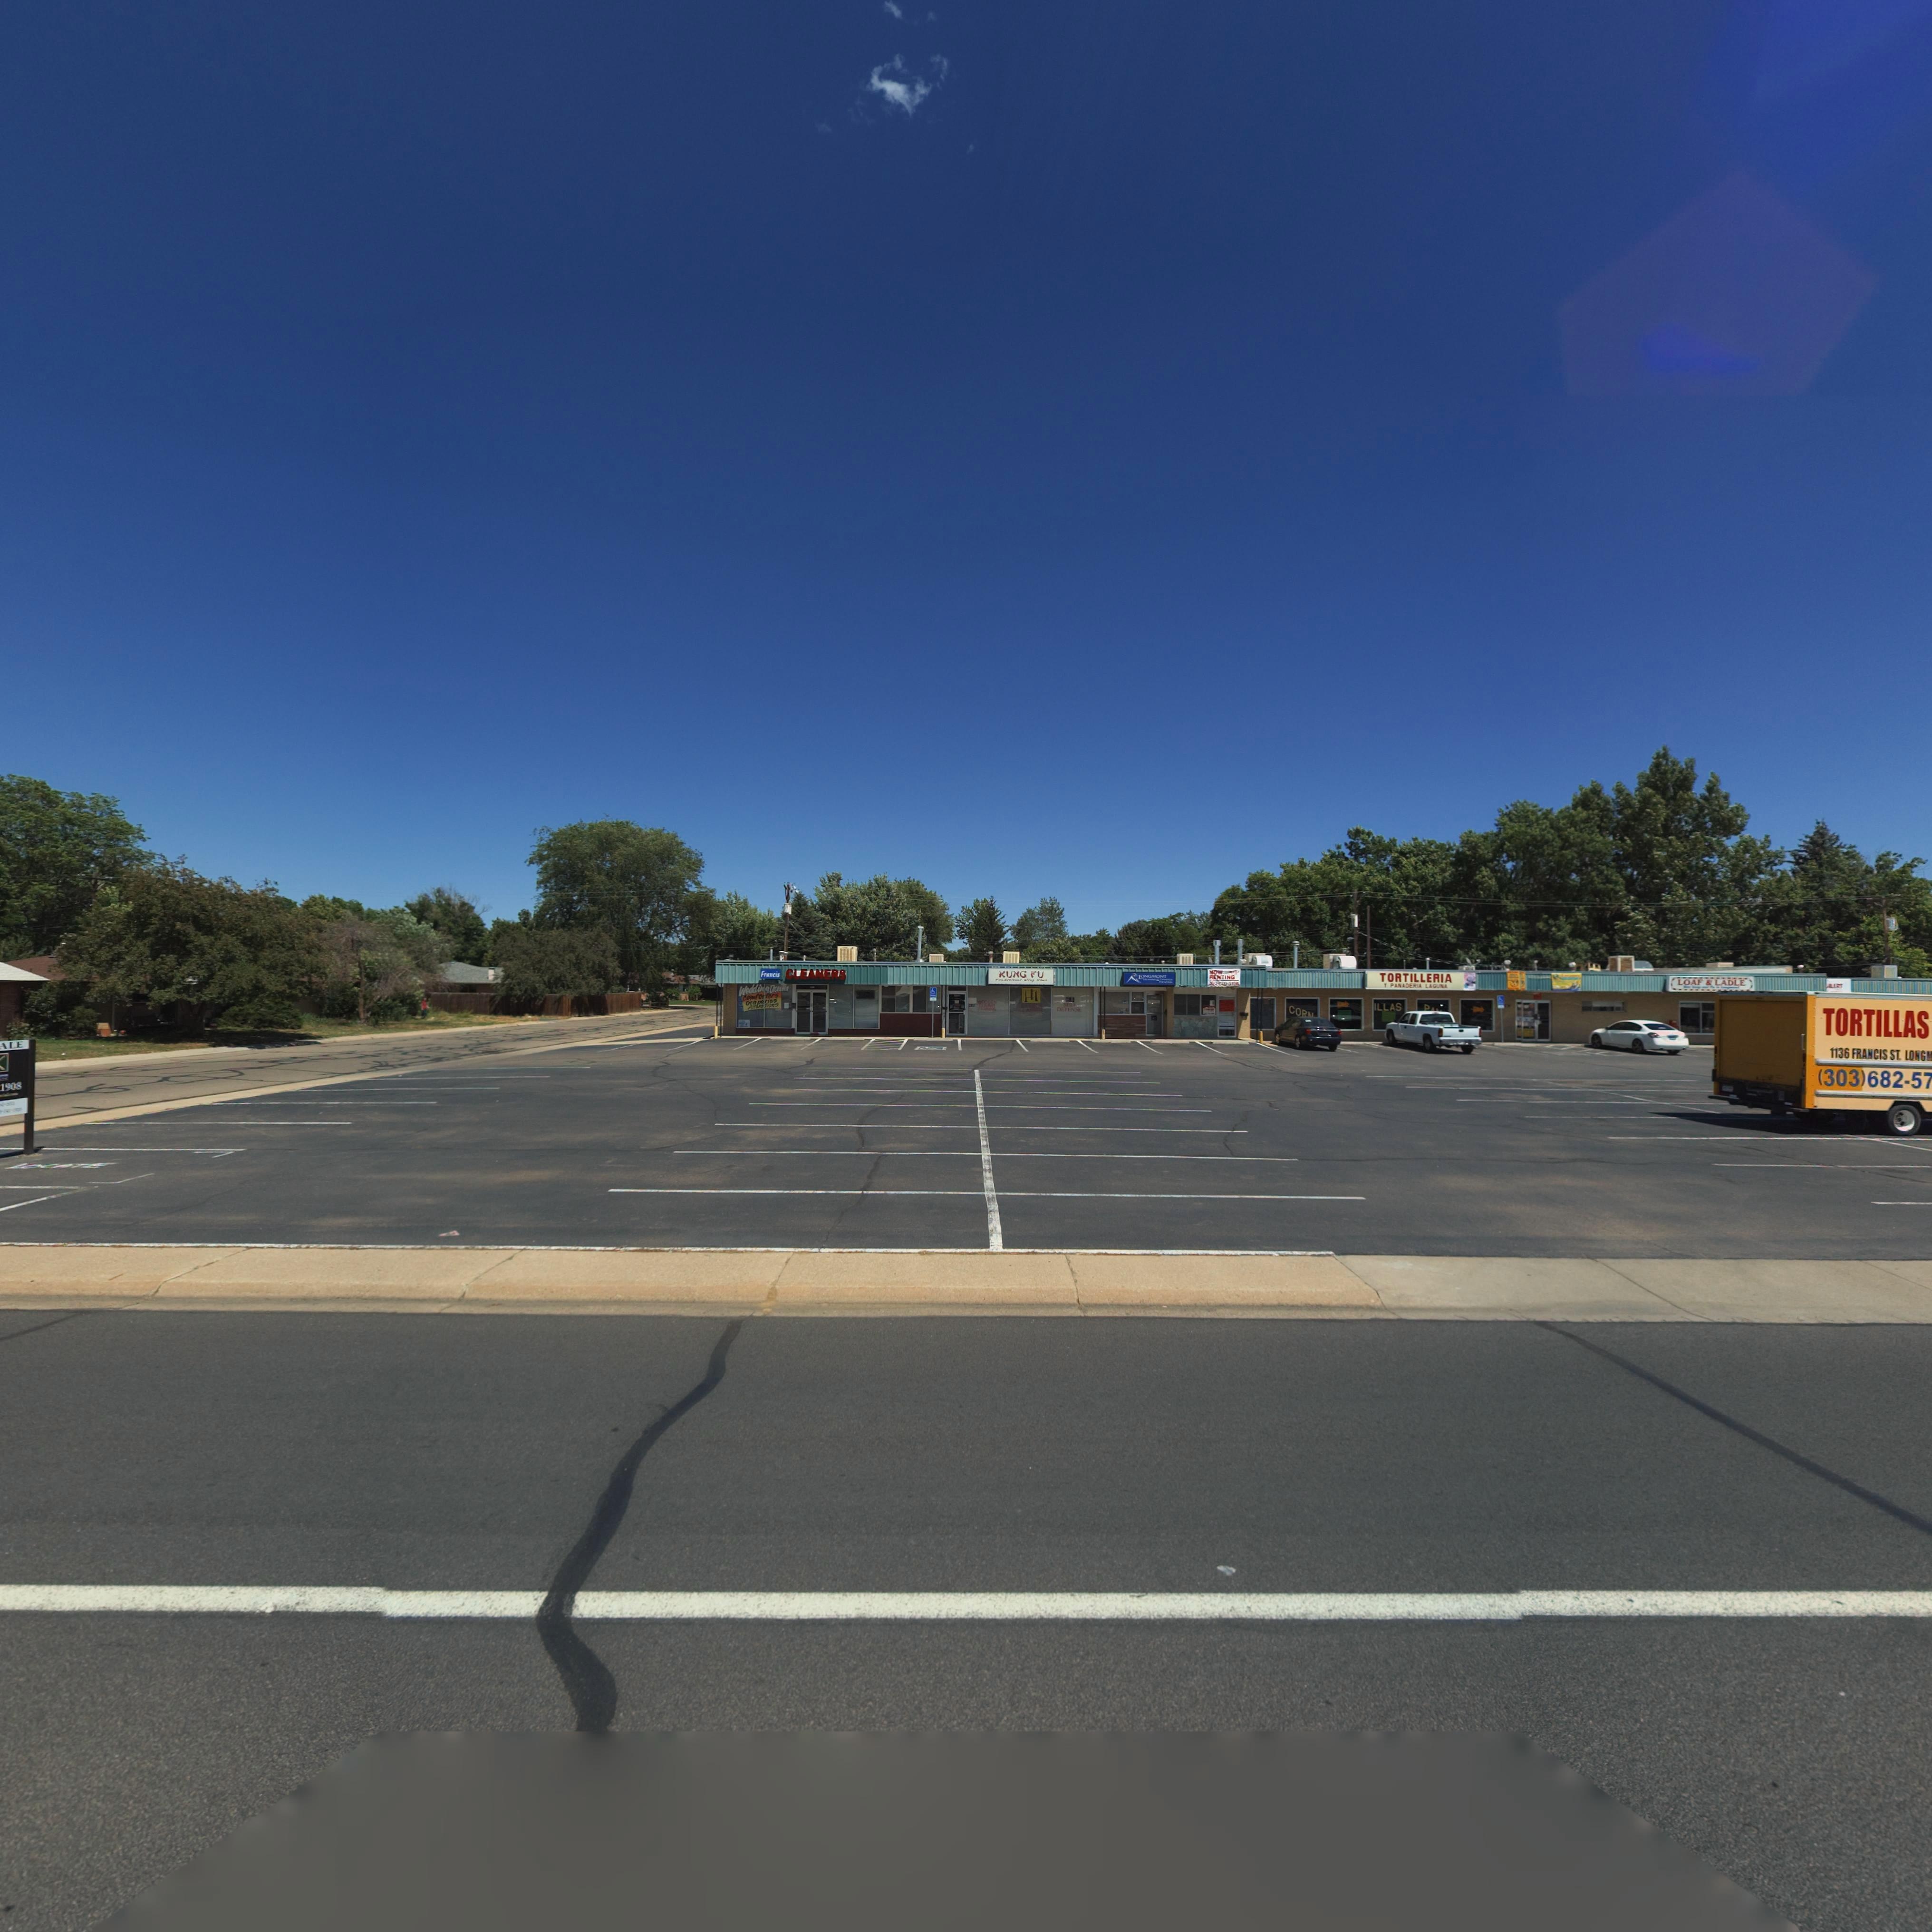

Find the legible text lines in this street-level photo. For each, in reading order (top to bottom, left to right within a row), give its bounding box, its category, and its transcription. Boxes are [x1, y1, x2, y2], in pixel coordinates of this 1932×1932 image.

[761, 970, 780, 977] BusinessName: Francis
[785, 968, 846, 980] BusinessName: CLEANERS
[998, 970, 1044, 978] BusinessName: KUNG FU
[1138, 974, 1166, 979] BusinessName: LON***NT
[1379, 973, 1452, 983] BusinessName: TORTILLERIA
[1383, 983, 1448, 988] BusinessName: Y PANADERIA LAGUNA
[1677, 979, 1745, 986] BusinessName: LOAF & LADLE